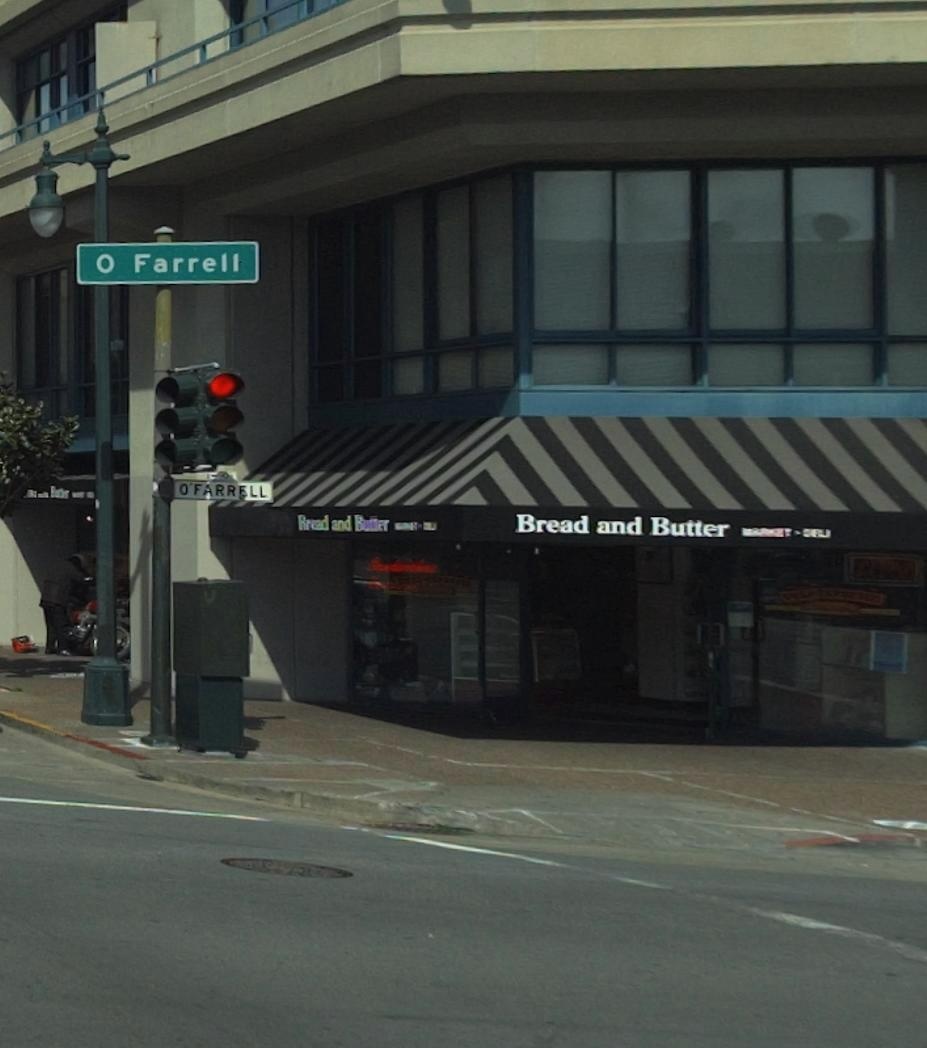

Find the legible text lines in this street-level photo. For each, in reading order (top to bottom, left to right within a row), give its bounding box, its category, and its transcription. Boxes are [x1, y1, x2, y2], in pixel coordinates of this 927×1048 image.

[90, 250, 244, 275] StreetName: O Farrell
[176, 481, 272, 500] StreetName: O'FARRELL
[296, 513, 392, 533] BusinessName: Bread and Butter
[513, 511, 733, 539] BusinessName: Bread and Butter